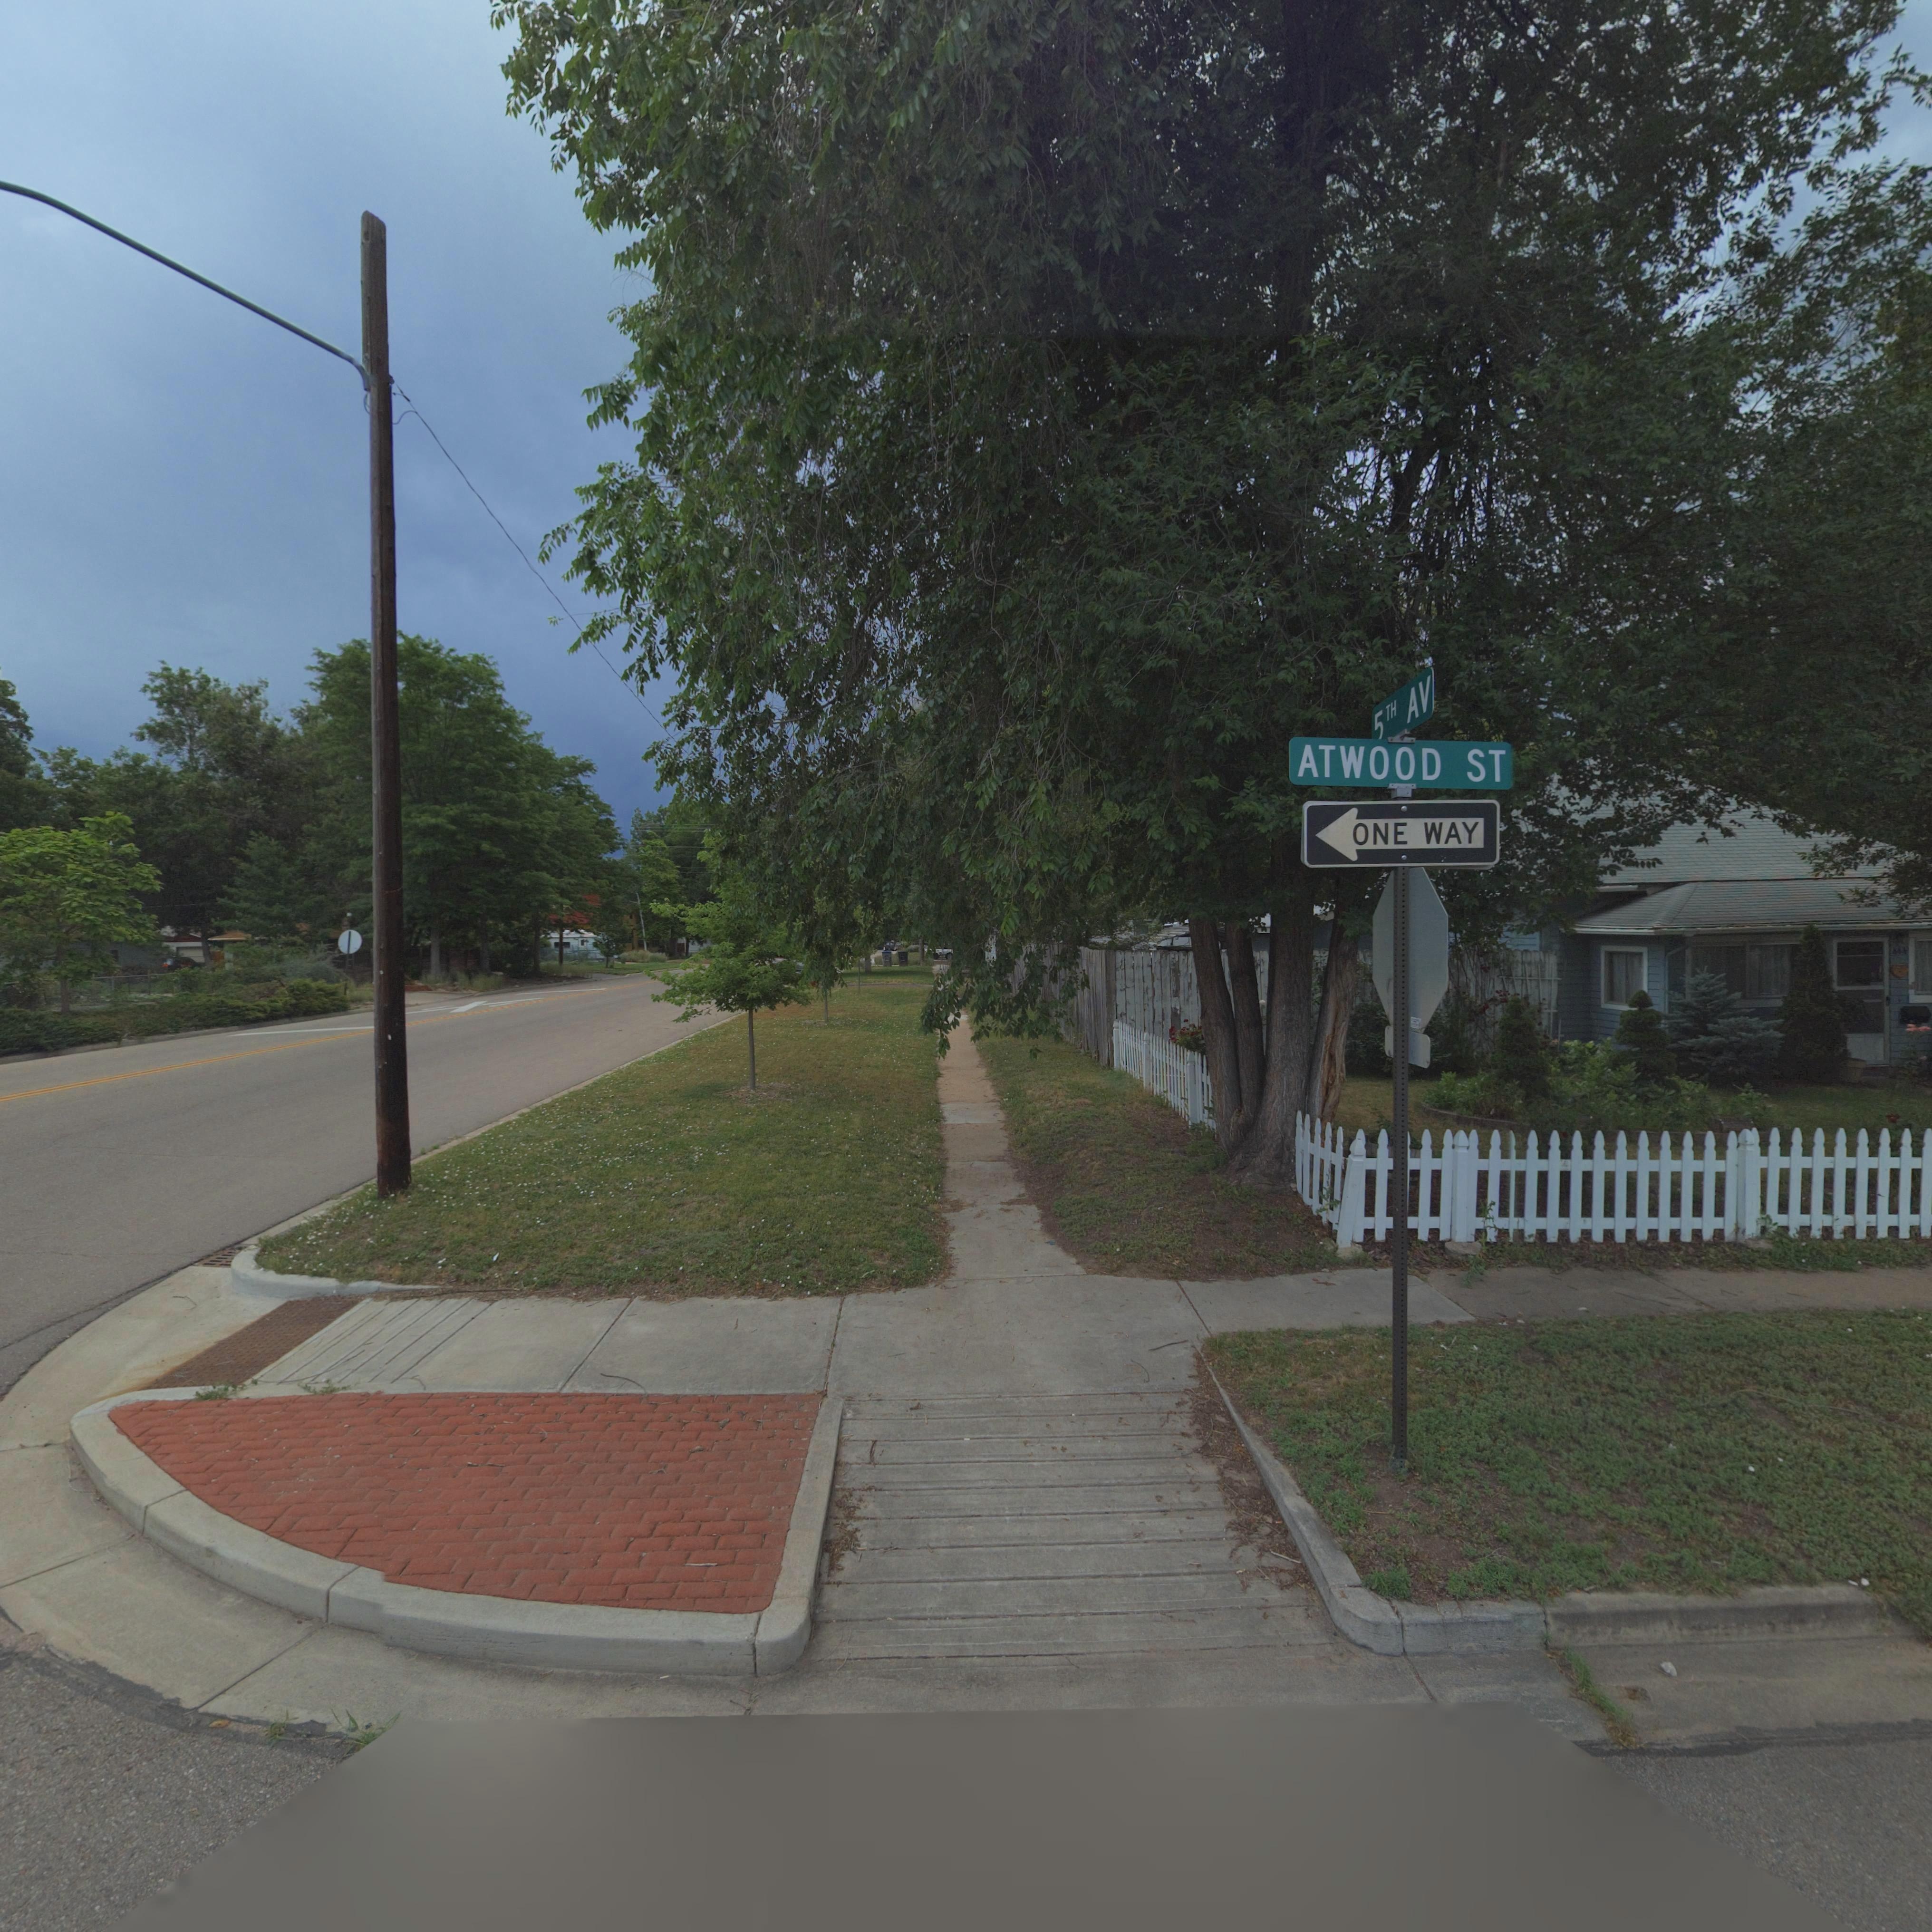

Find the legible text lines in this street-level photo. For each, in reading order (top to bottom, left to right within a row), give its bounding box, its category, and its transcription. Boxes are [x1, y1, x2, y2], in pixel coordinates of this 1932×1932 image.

[1373, 674, 1431, 740] StreetName: 5TH AV
[1296, 744, 1506, 782] StreetName: ATWOOD ST
[1891, 945, 1908, 955] StreetNumber: *44